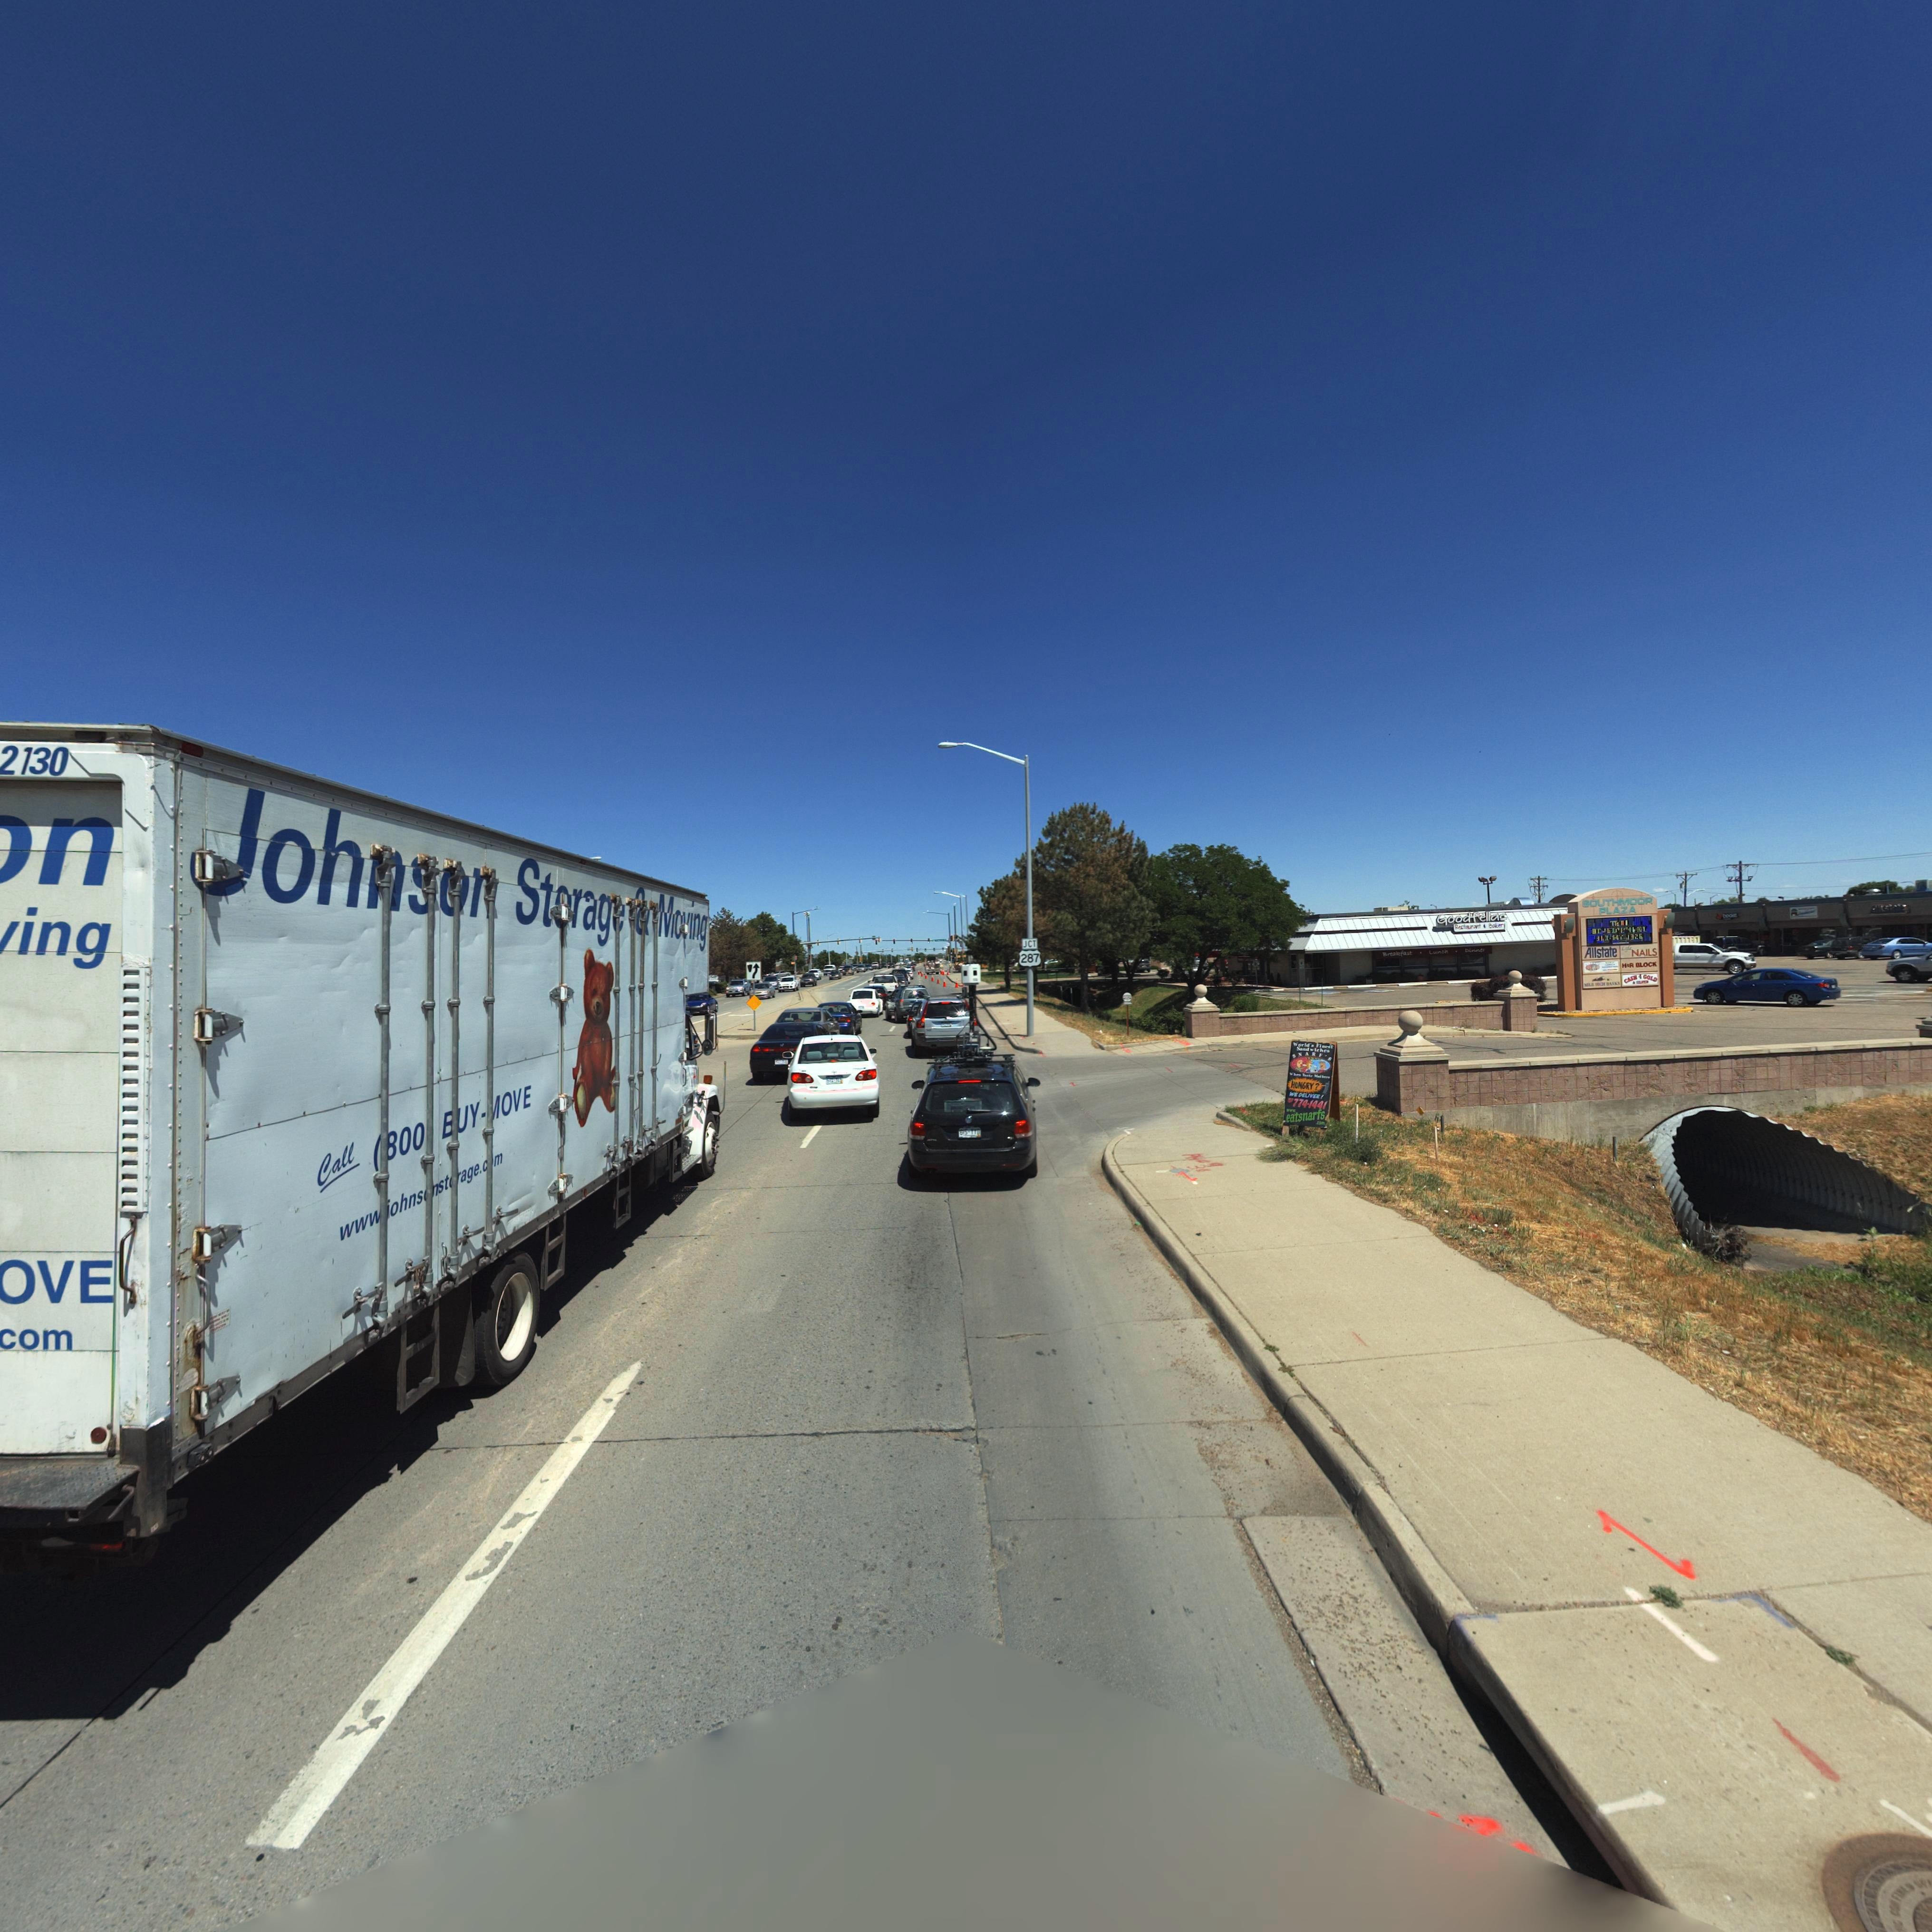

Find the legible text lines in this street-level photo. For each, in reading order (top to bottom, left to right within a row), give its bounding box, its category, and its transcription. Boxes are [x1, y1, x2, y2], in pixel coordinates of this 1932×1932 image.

[1583, 897, 1653, 908] BusinessName: SOUTHMOOR
[1598, 905, 1638, 915] BusinessName: PLAZA
[1868, 904, 1906, 914] BusinessName: All*t**e
[1436, 911, 1507, 927] BusinessName: Goodfellas
[1722, 913, 1738, 918] BusinessName: *oos*
[1454, 922, 1506, 930] BusinessName: Rest*ura*t * Baker*
[1584, 946, 1617, 958] BusinessName: Allstate
[1621, 946, 1632, 952] BusinessName: **le
[1631, 947, 1658, 957] BusinessName: NAILS
[1622, 961, 1657, 968] BusinessName: H&R BLOCK
[1583, 981, 1620, 987] BusinessName: **L* ***H B***S
[1632, 980, 1649, 984] BusinessName: A *****
[1623, 974, 1658, 984] BusinessName: CASH 4 GOLD
[1292, 1052, 1333, 1062] BusinessName: SNAR*'S